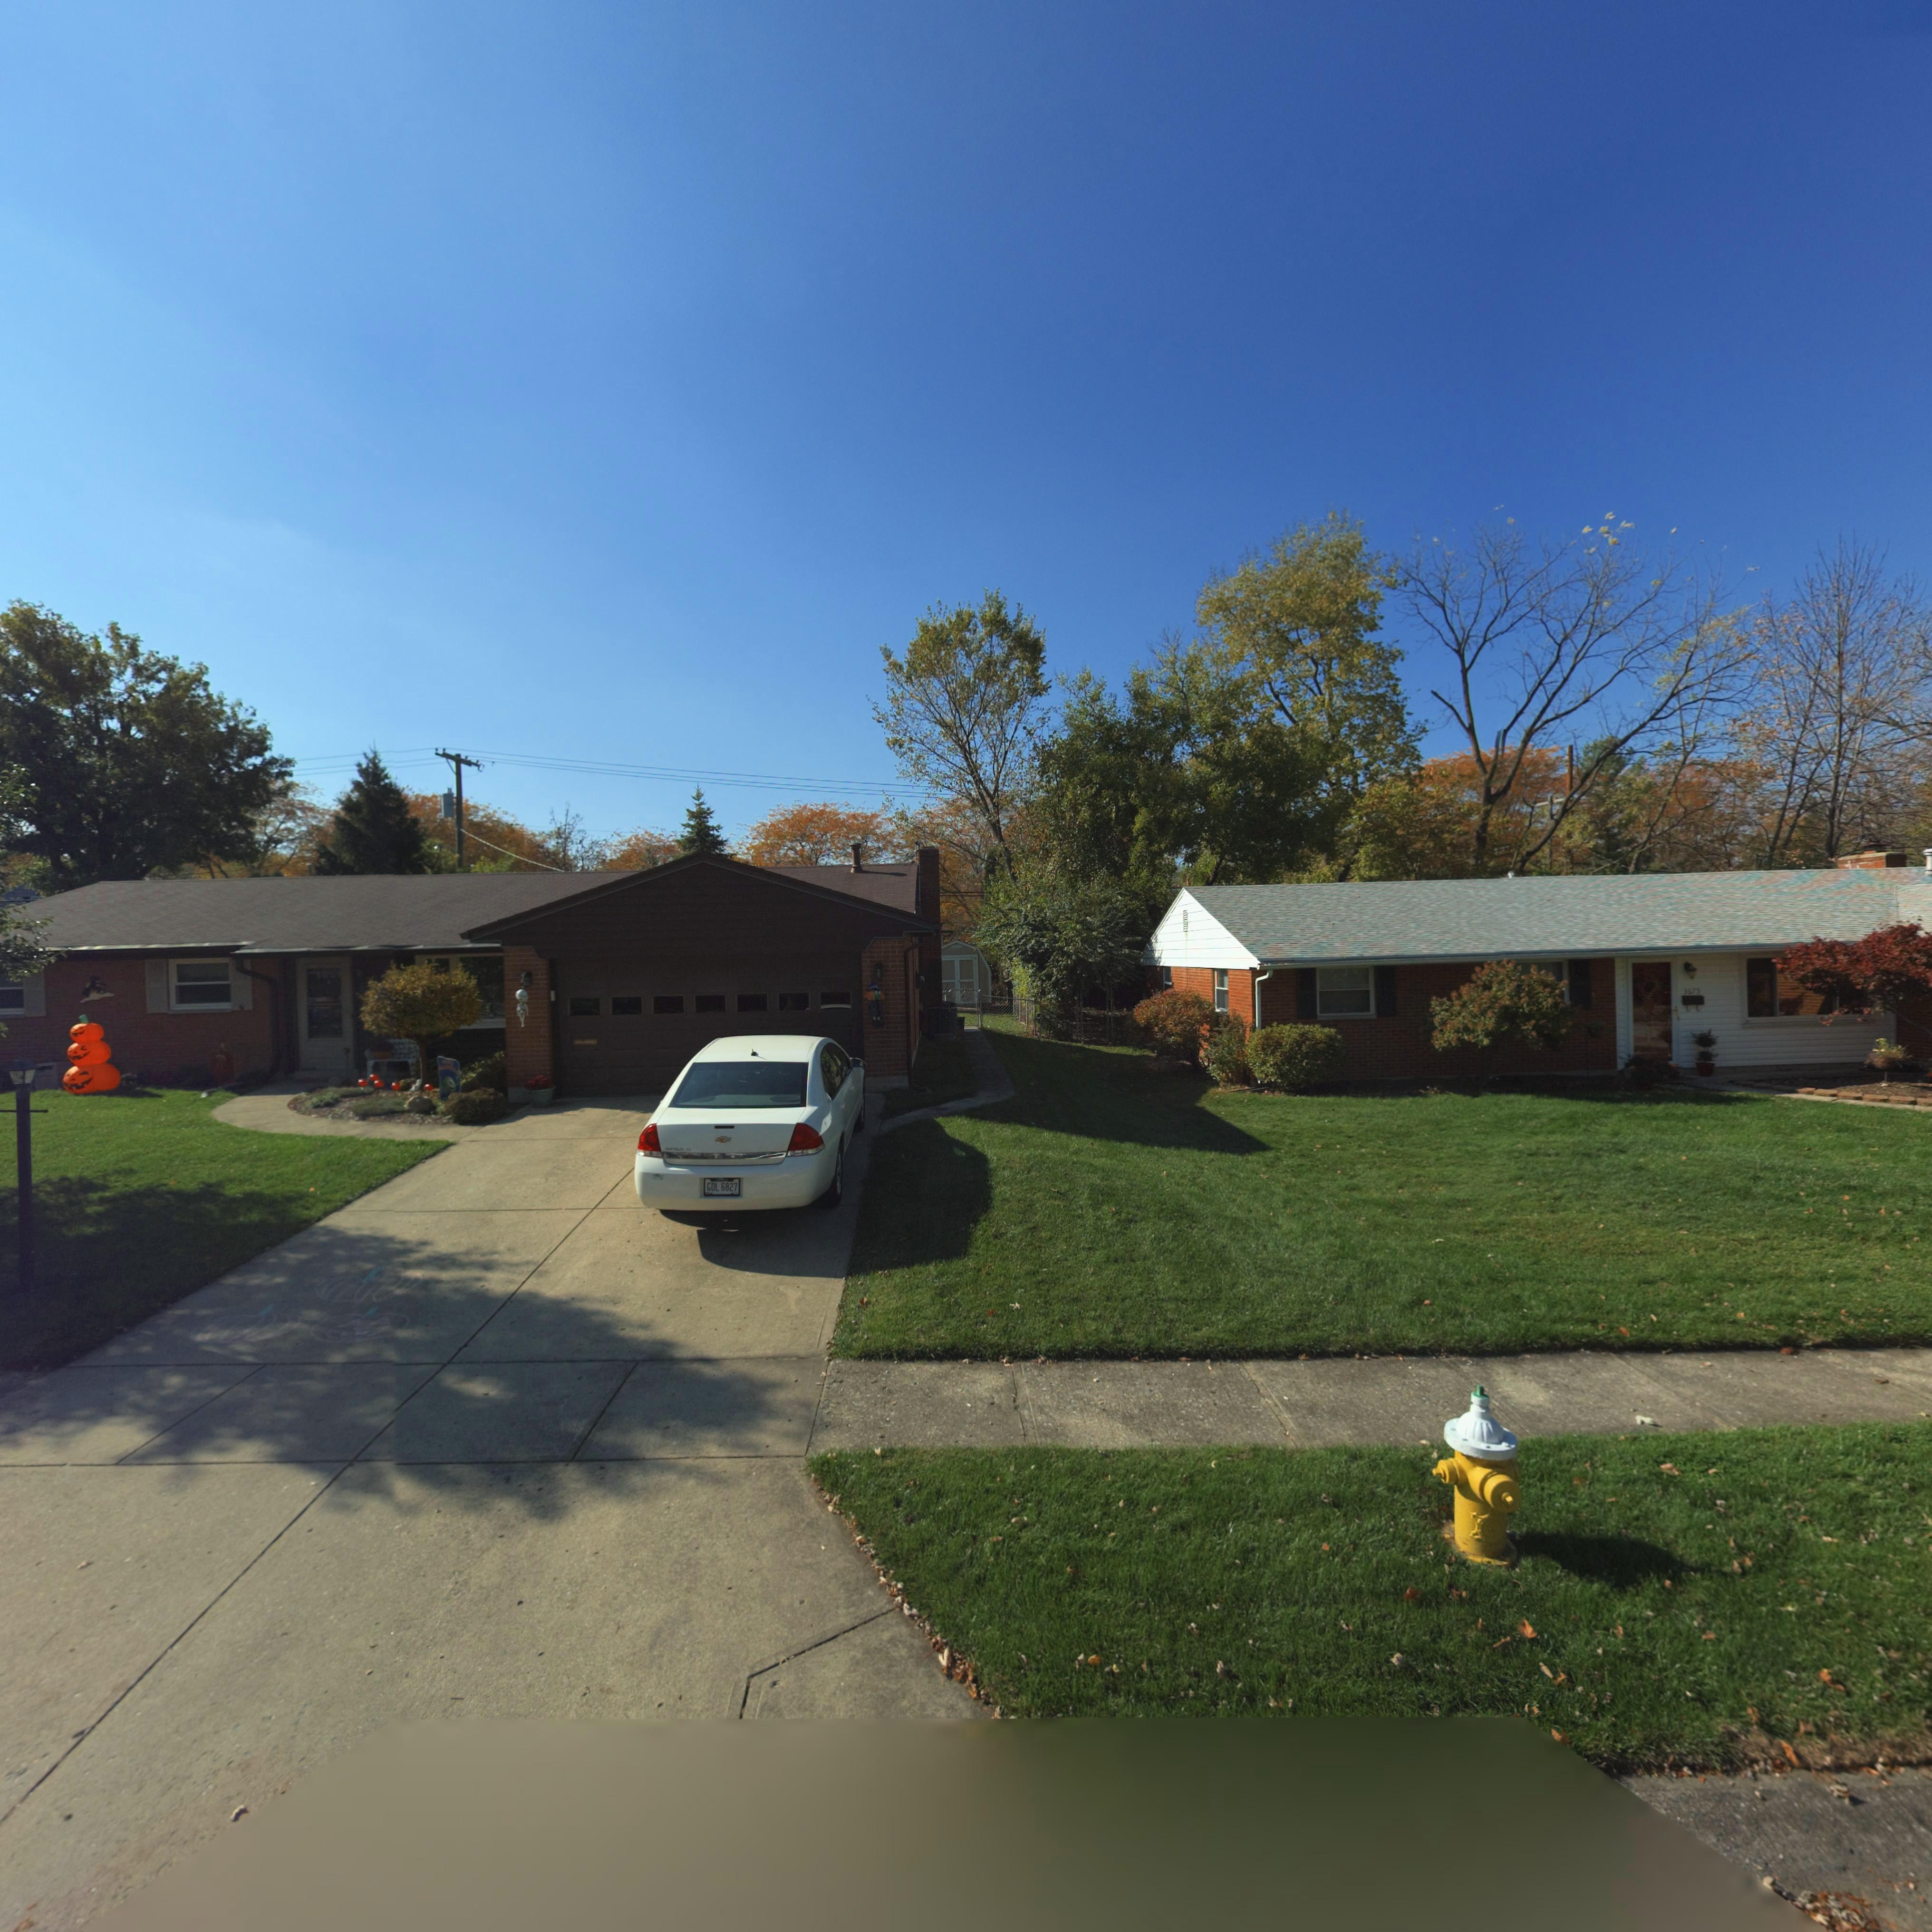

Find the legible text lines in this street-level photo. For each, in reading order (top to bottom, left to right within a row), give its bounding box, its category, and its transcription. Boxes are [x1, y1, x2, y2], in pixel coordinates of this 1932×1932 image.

[1682, 987, 1702, 995] StreetNumber: 3675
[706, 1180, 739, 1193] None: GDL 6827